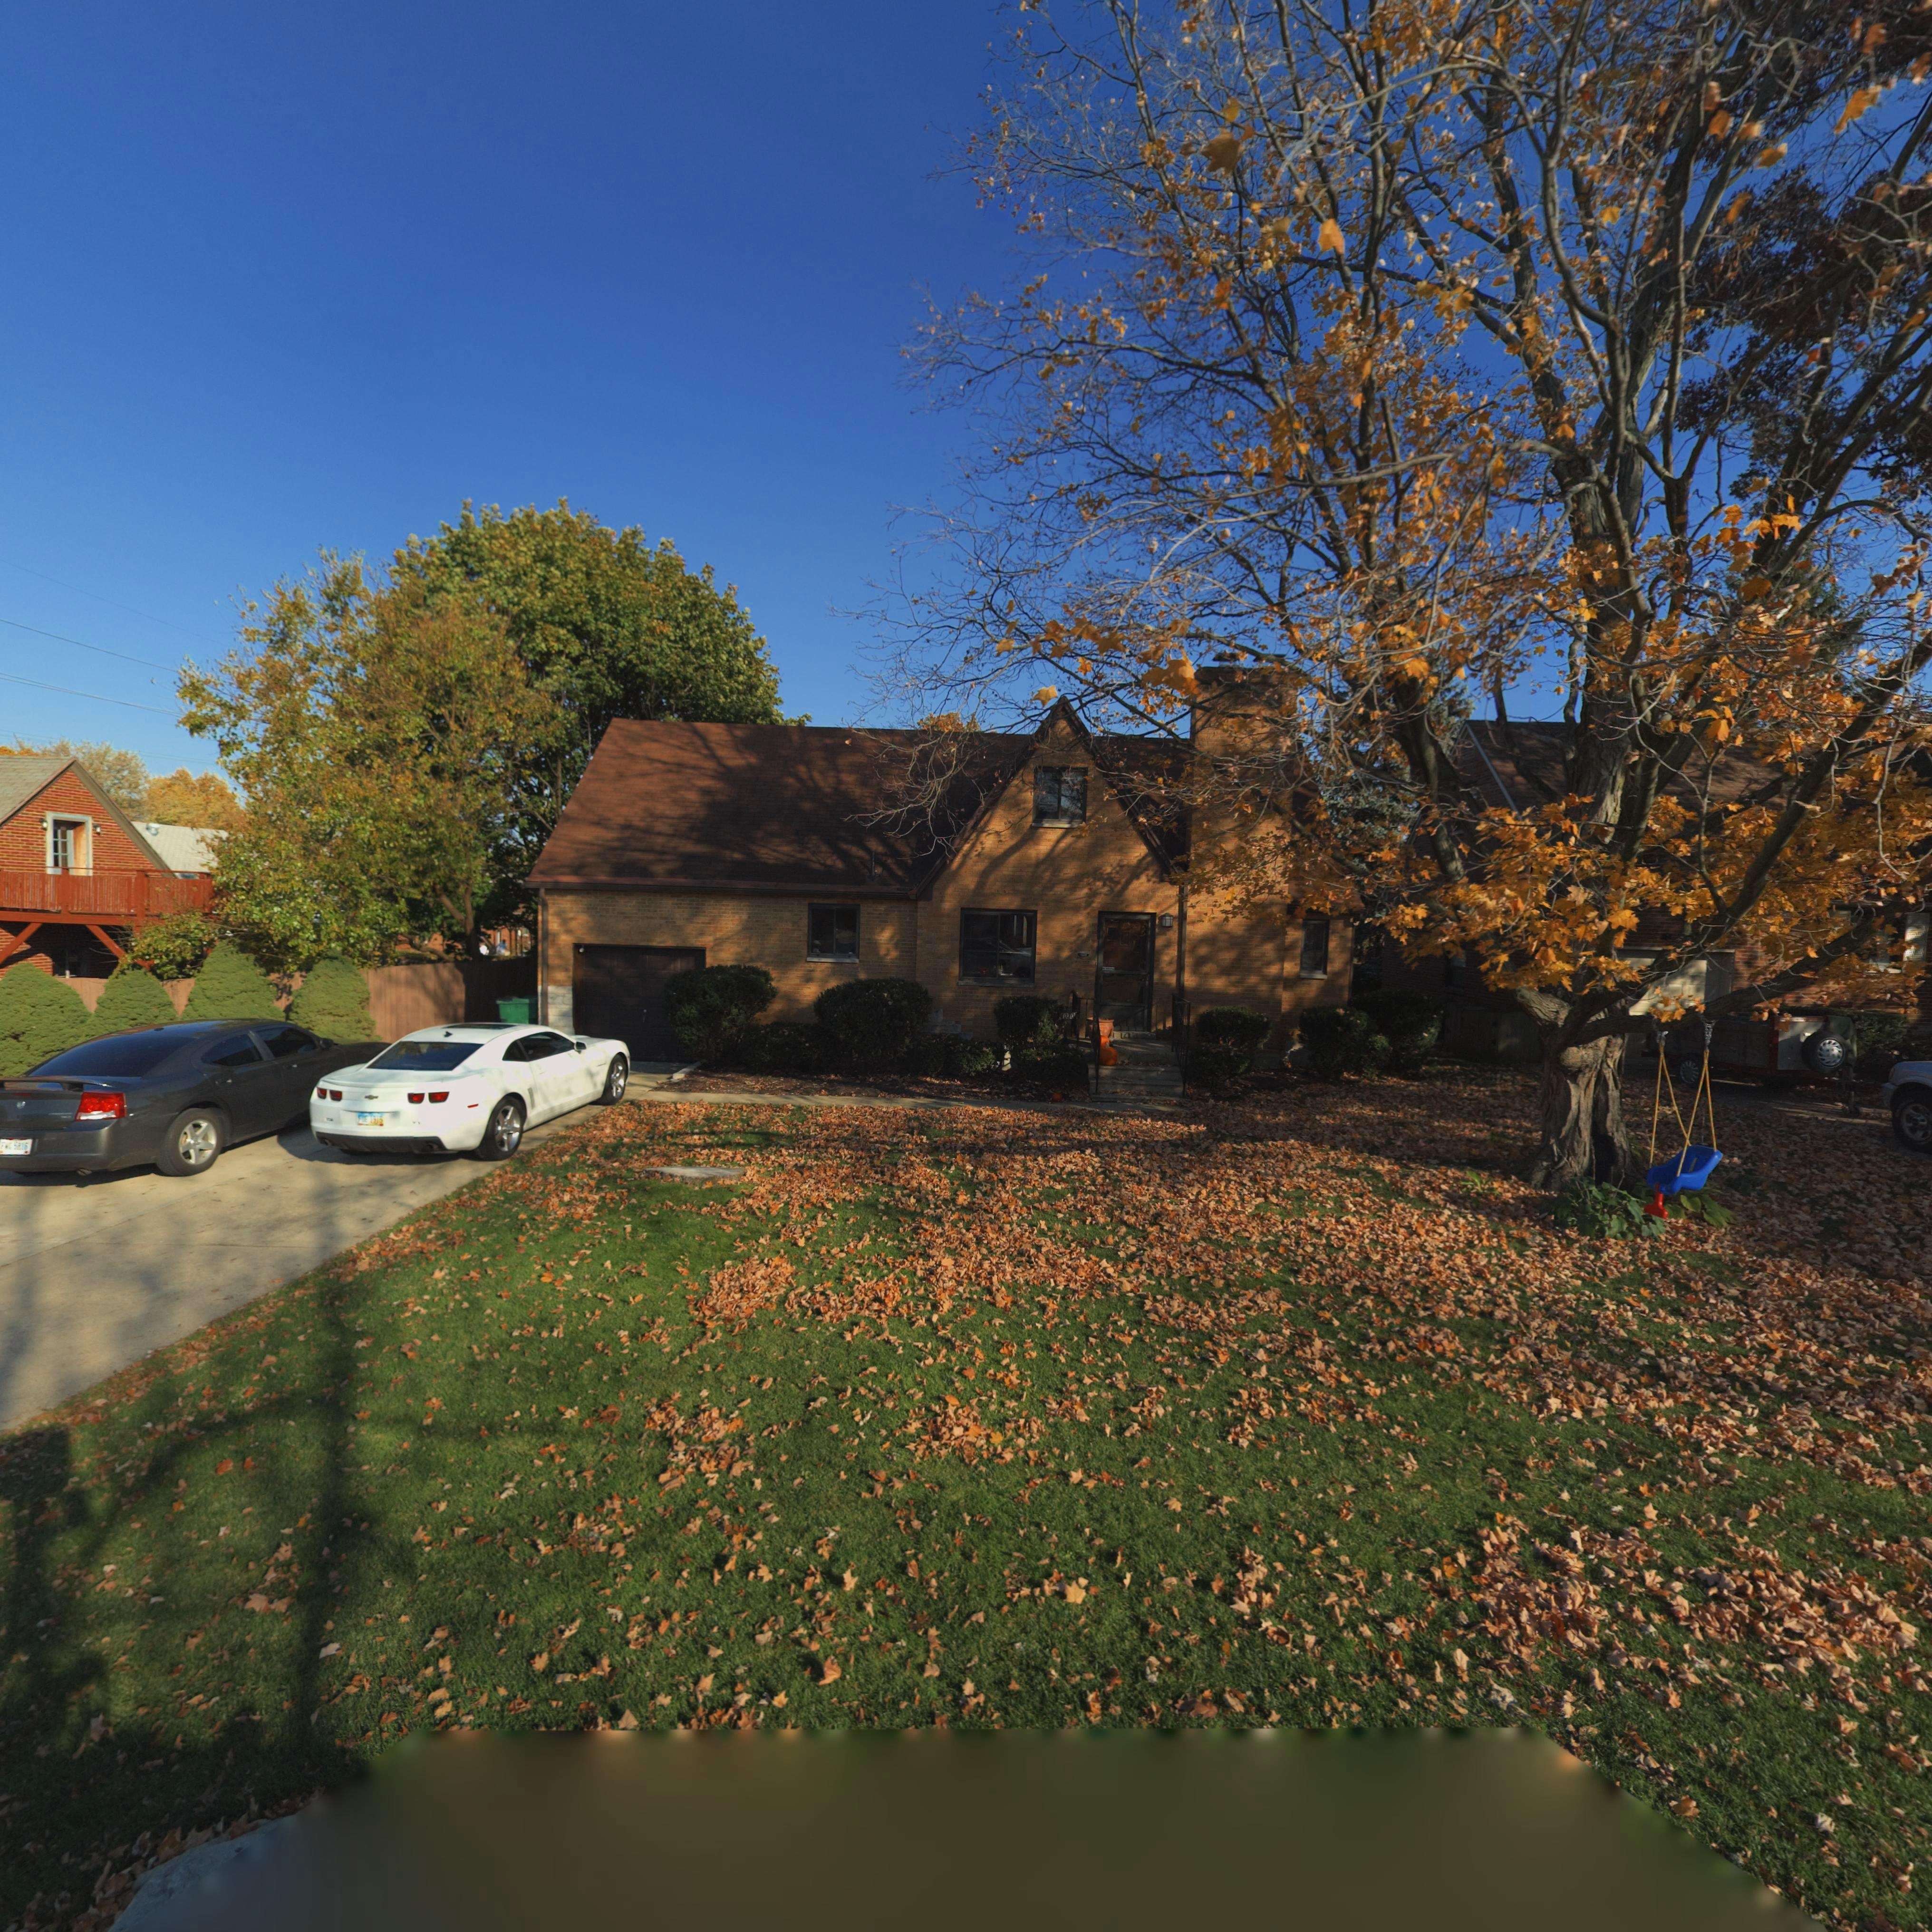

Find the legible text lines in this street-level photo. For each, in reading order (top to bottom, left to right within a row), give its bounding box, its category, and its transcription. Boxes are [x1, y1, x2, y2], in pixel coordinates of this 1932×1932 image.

[1059, 1013, 1076, 1019] StreetNumber: *030